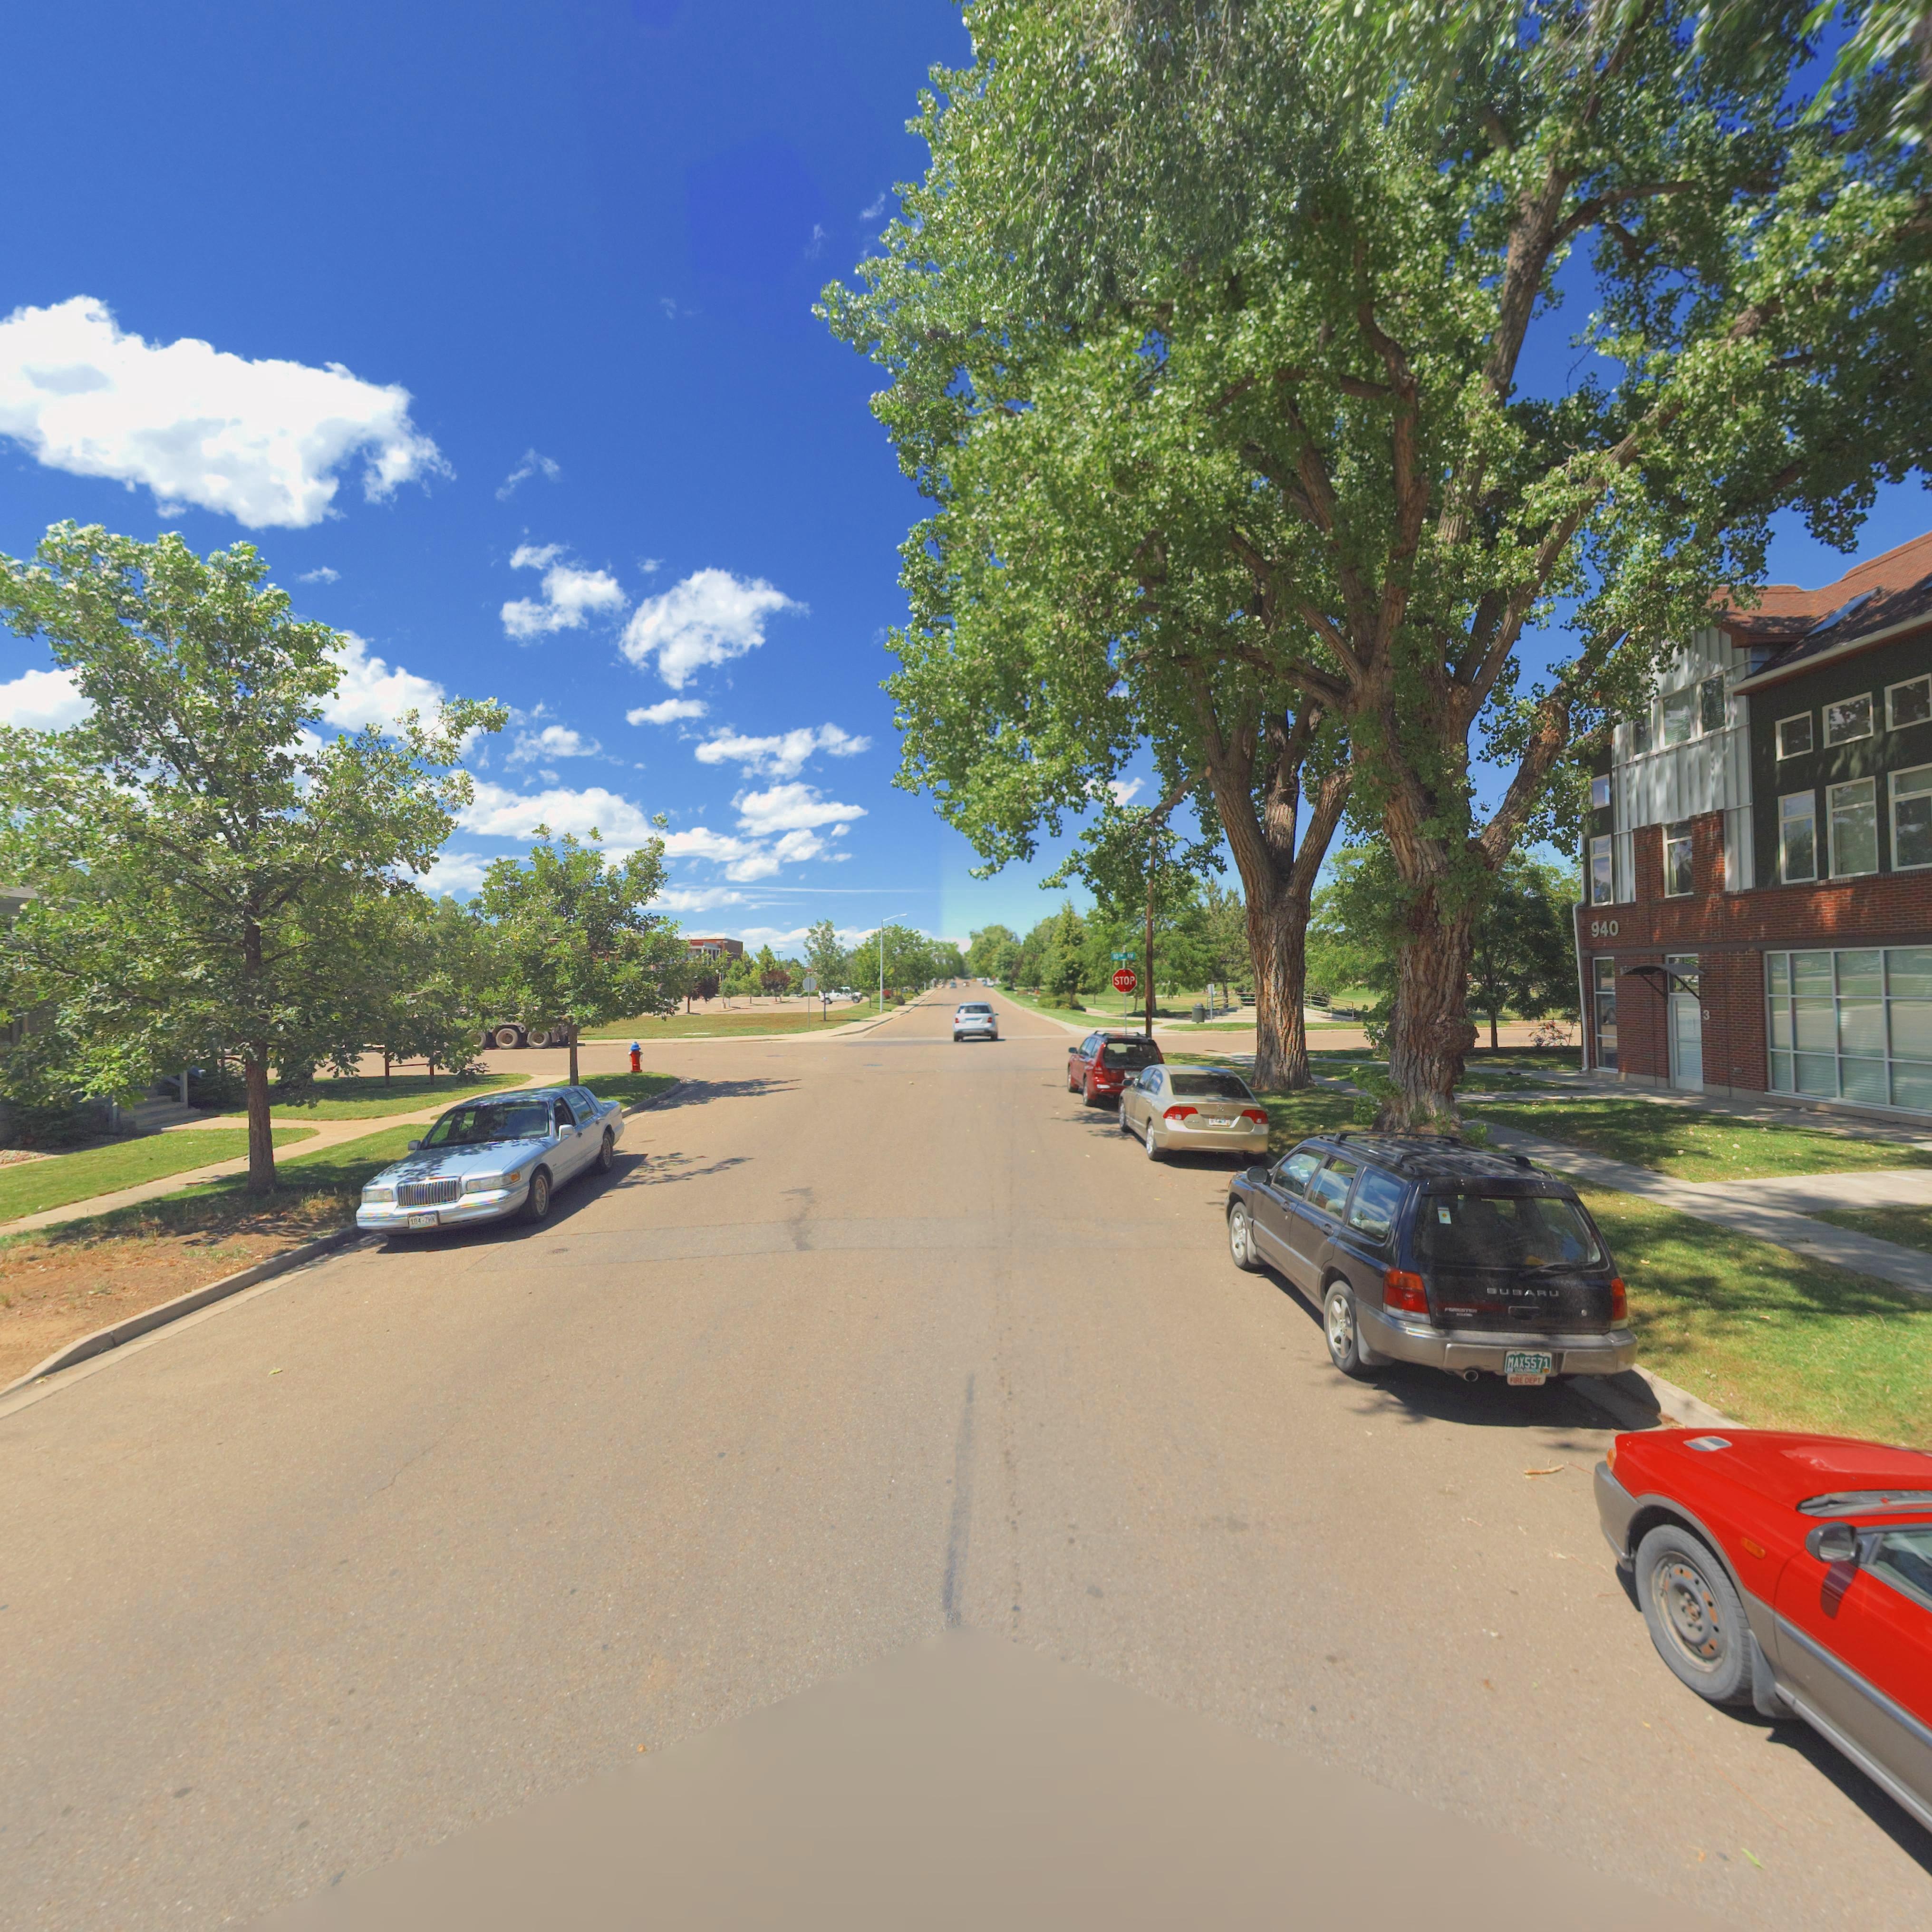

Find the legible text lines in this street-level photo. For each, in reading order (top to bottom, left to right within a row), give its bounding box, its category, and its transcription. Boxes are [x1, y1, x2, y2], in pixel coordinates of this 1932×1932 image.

[1590, 919, 1619, 937] StreetNumber: 940
[1113, 953, 1134, 959] StreetName: 10** AV